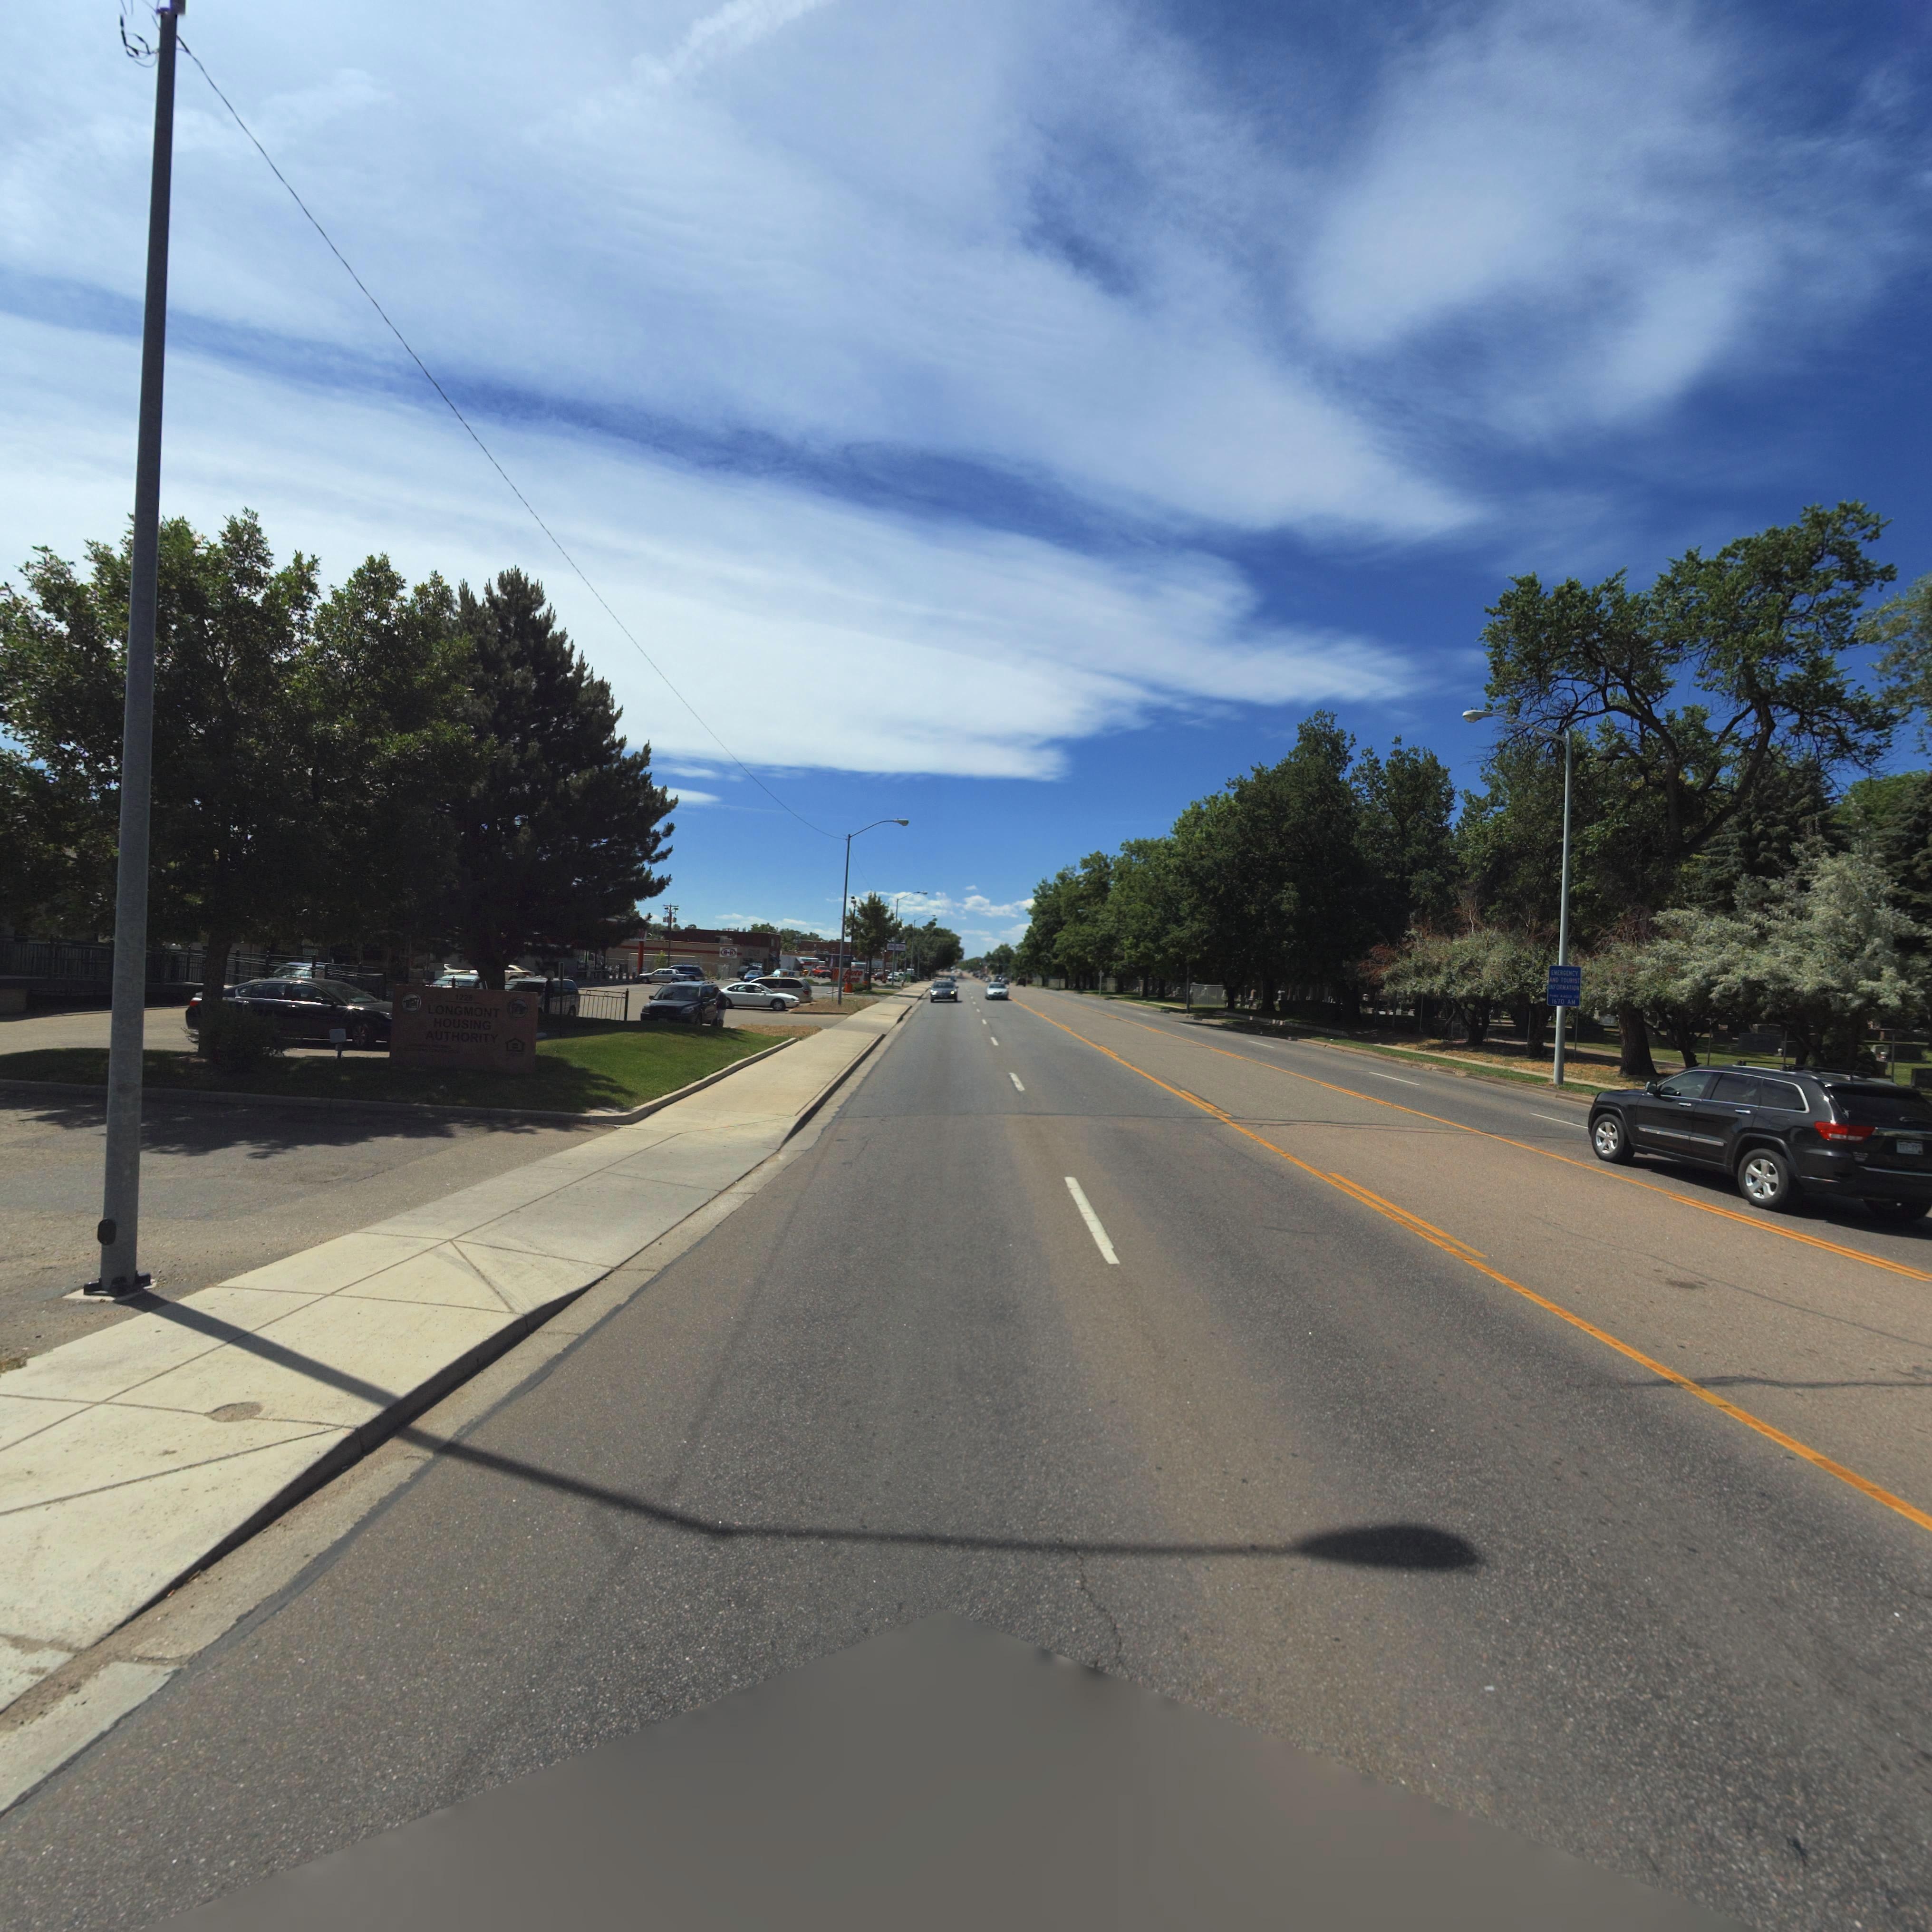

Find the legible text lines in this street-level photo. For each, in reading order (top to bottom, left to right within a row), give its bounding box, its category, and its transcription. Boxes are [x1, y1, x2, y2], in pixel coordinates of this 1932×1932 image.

[723, 949, 733, 955] BusinessName: B*H
[844, 968, 863, 976] BusinessName: **to
[842, 975, 860, 983] BusinessName: **ne
[454, 993, 473, 1001] StreetNumber: 1228
[427, 1004, 500, 1018] BusinessName: LONGMONT
[433, 1017, 492, 1030] BusinessName: HOUSING
[425, 1030, 499, 1043] BusinessName: AUTHORITY